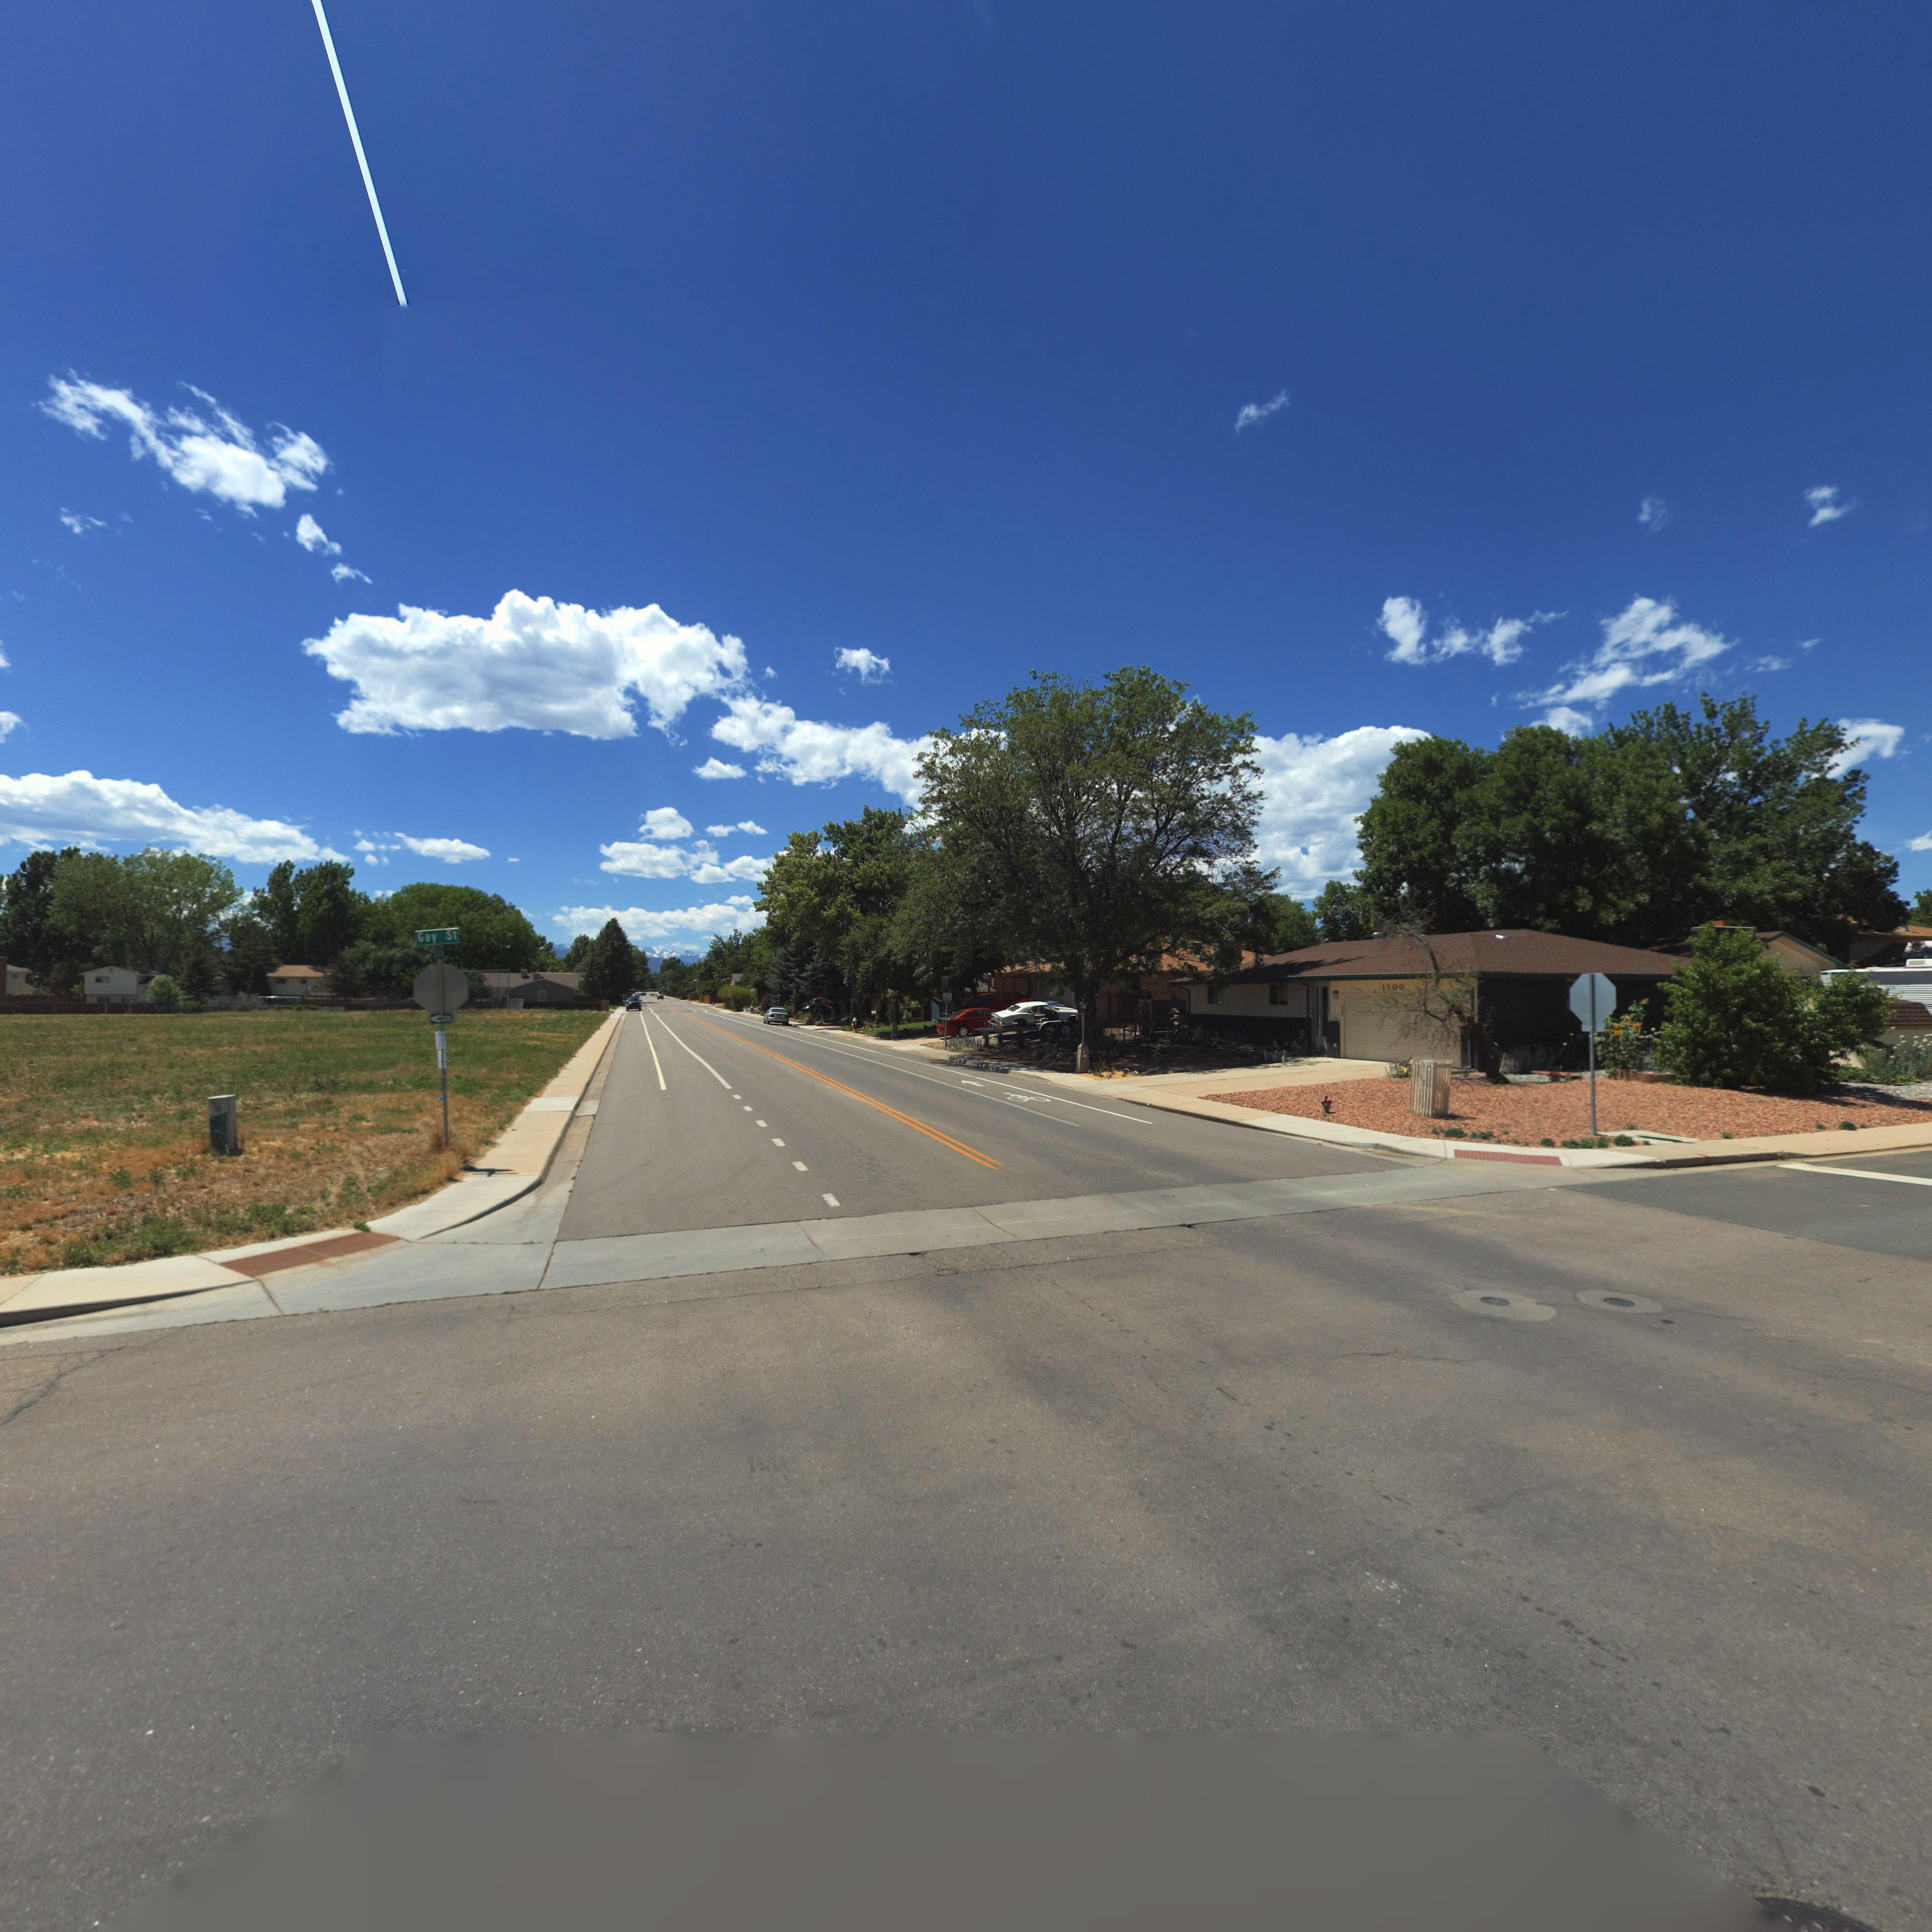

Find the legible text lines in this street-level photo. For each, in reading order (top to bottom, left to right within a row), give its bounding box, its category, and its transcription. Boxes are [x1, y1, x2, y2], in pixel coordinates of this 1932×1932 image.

[417, 928, 457, 944] StreetName: Gay St
[1382, 984, 1404, 991] StreetNumber: 1300